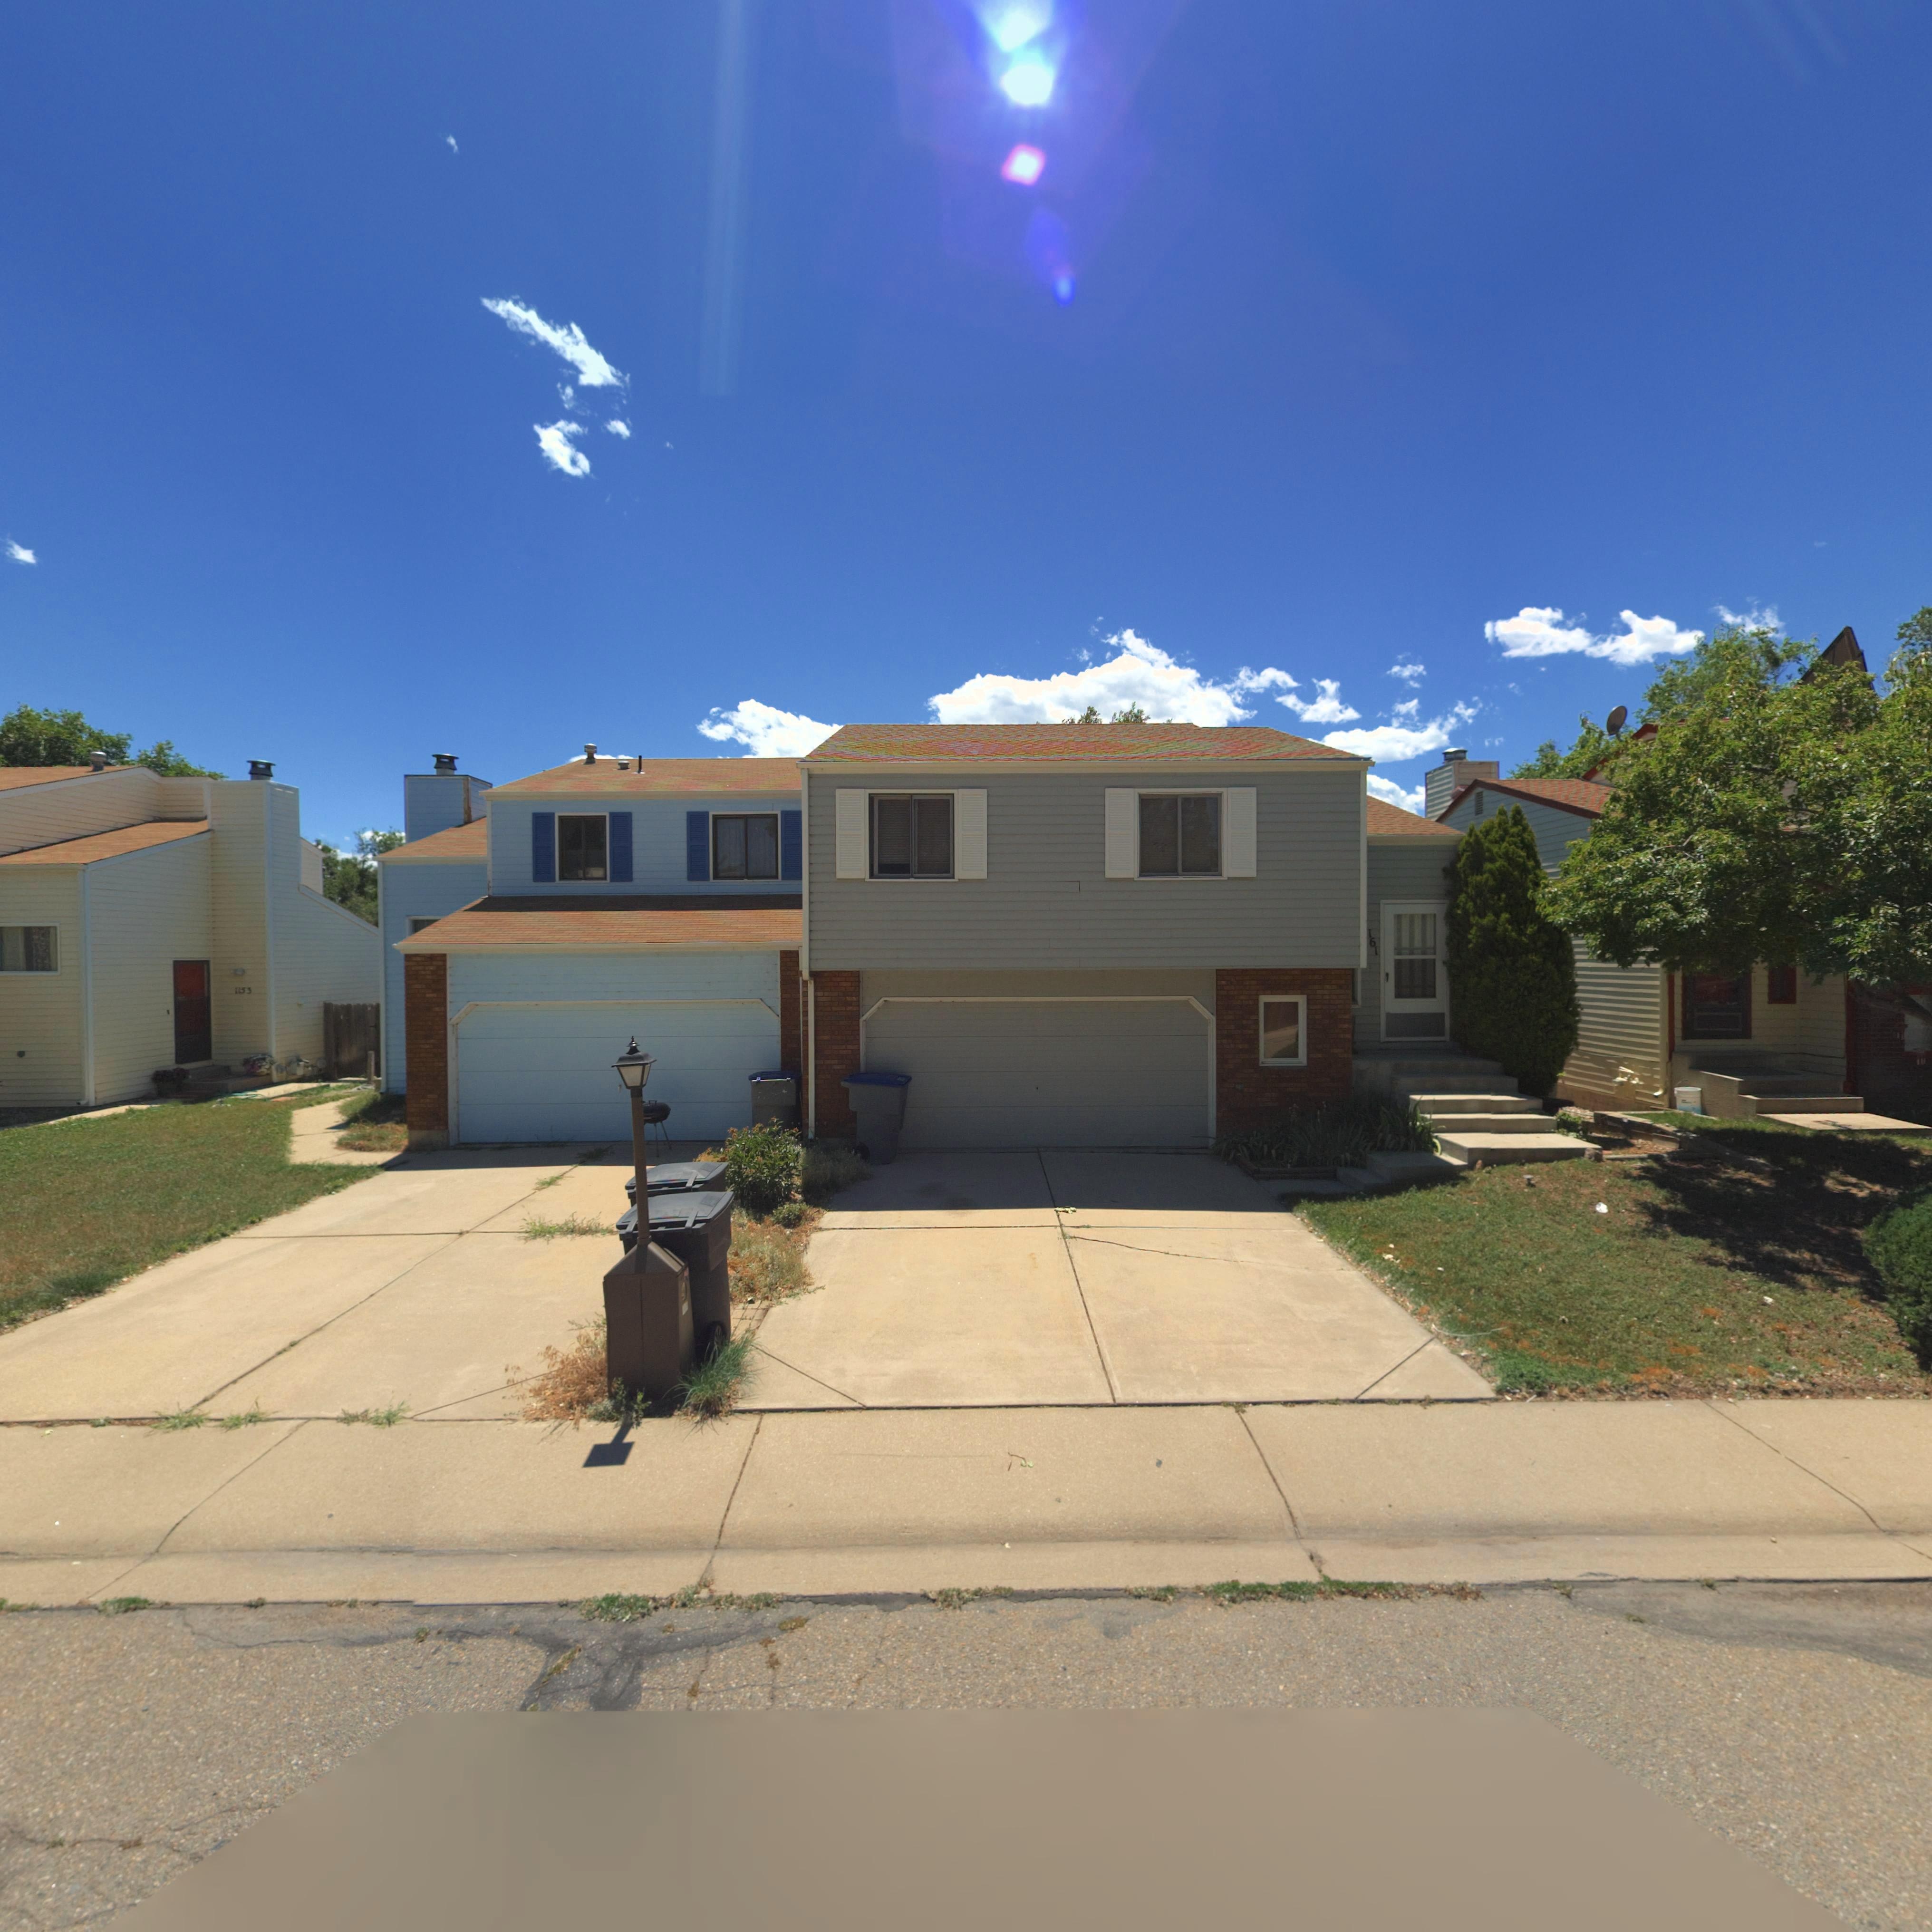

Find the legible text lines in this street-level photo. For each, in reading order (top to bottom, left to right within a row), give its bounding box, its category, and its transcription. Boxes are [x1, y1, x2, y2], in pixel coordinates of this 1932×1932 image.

[1367, 928, 1379, 956] StreetNumber: 161
[234, 986, 252, 995] StreetNumber: 1153